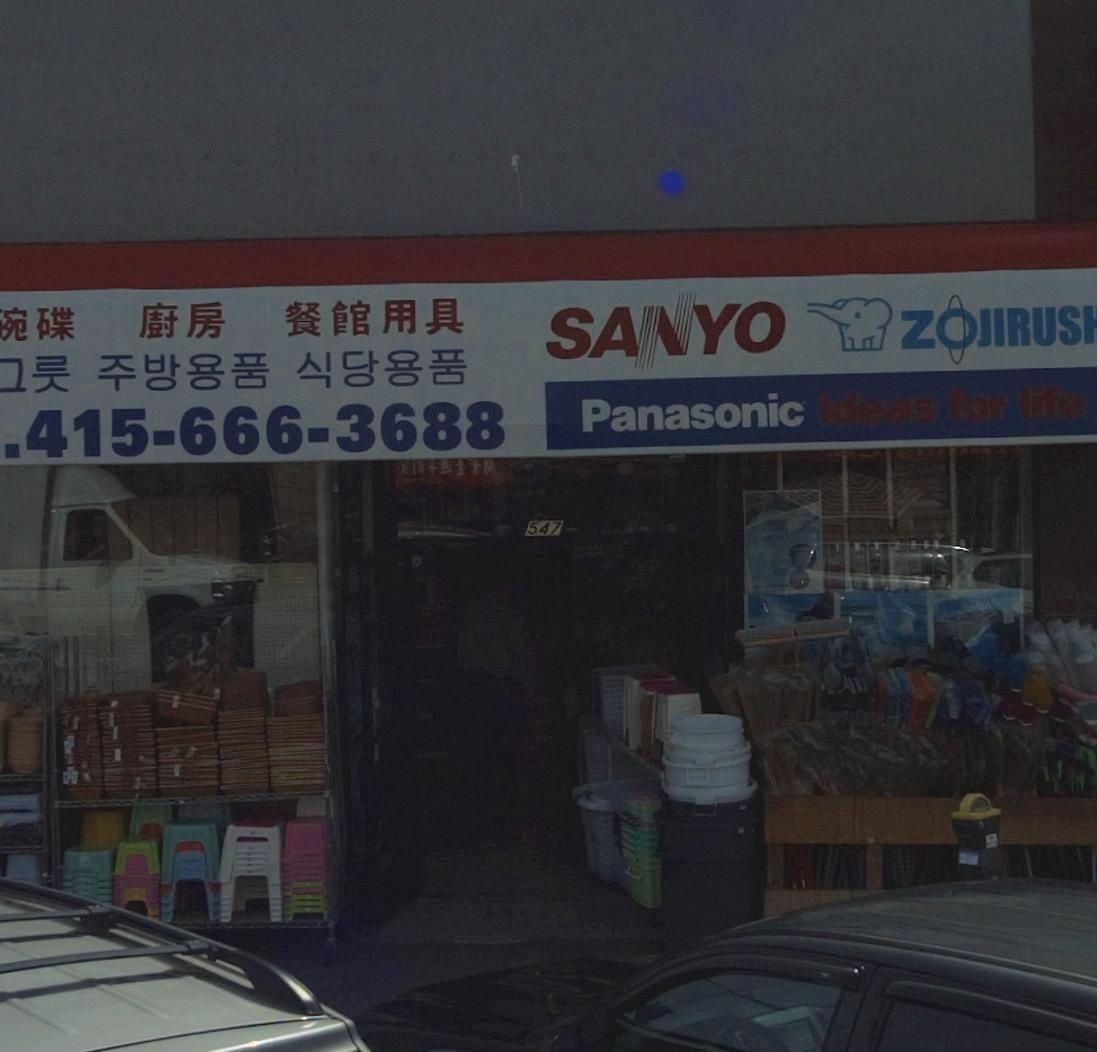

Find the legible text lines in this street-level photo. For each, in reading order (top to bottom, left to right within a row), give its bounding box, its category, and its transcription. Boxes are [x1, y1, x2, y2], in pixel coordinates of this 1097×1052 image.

[544, 301, 794, 360] None: SANYO
[900, 305, 1082, 350] None: ZOJIRUS
[25, 399, 506, 458] None: 415-666-3688
[580, 385, 1087, 433] None: Panasonic ideas for life
[524, 520, 566, 536] StreetNumber: 547